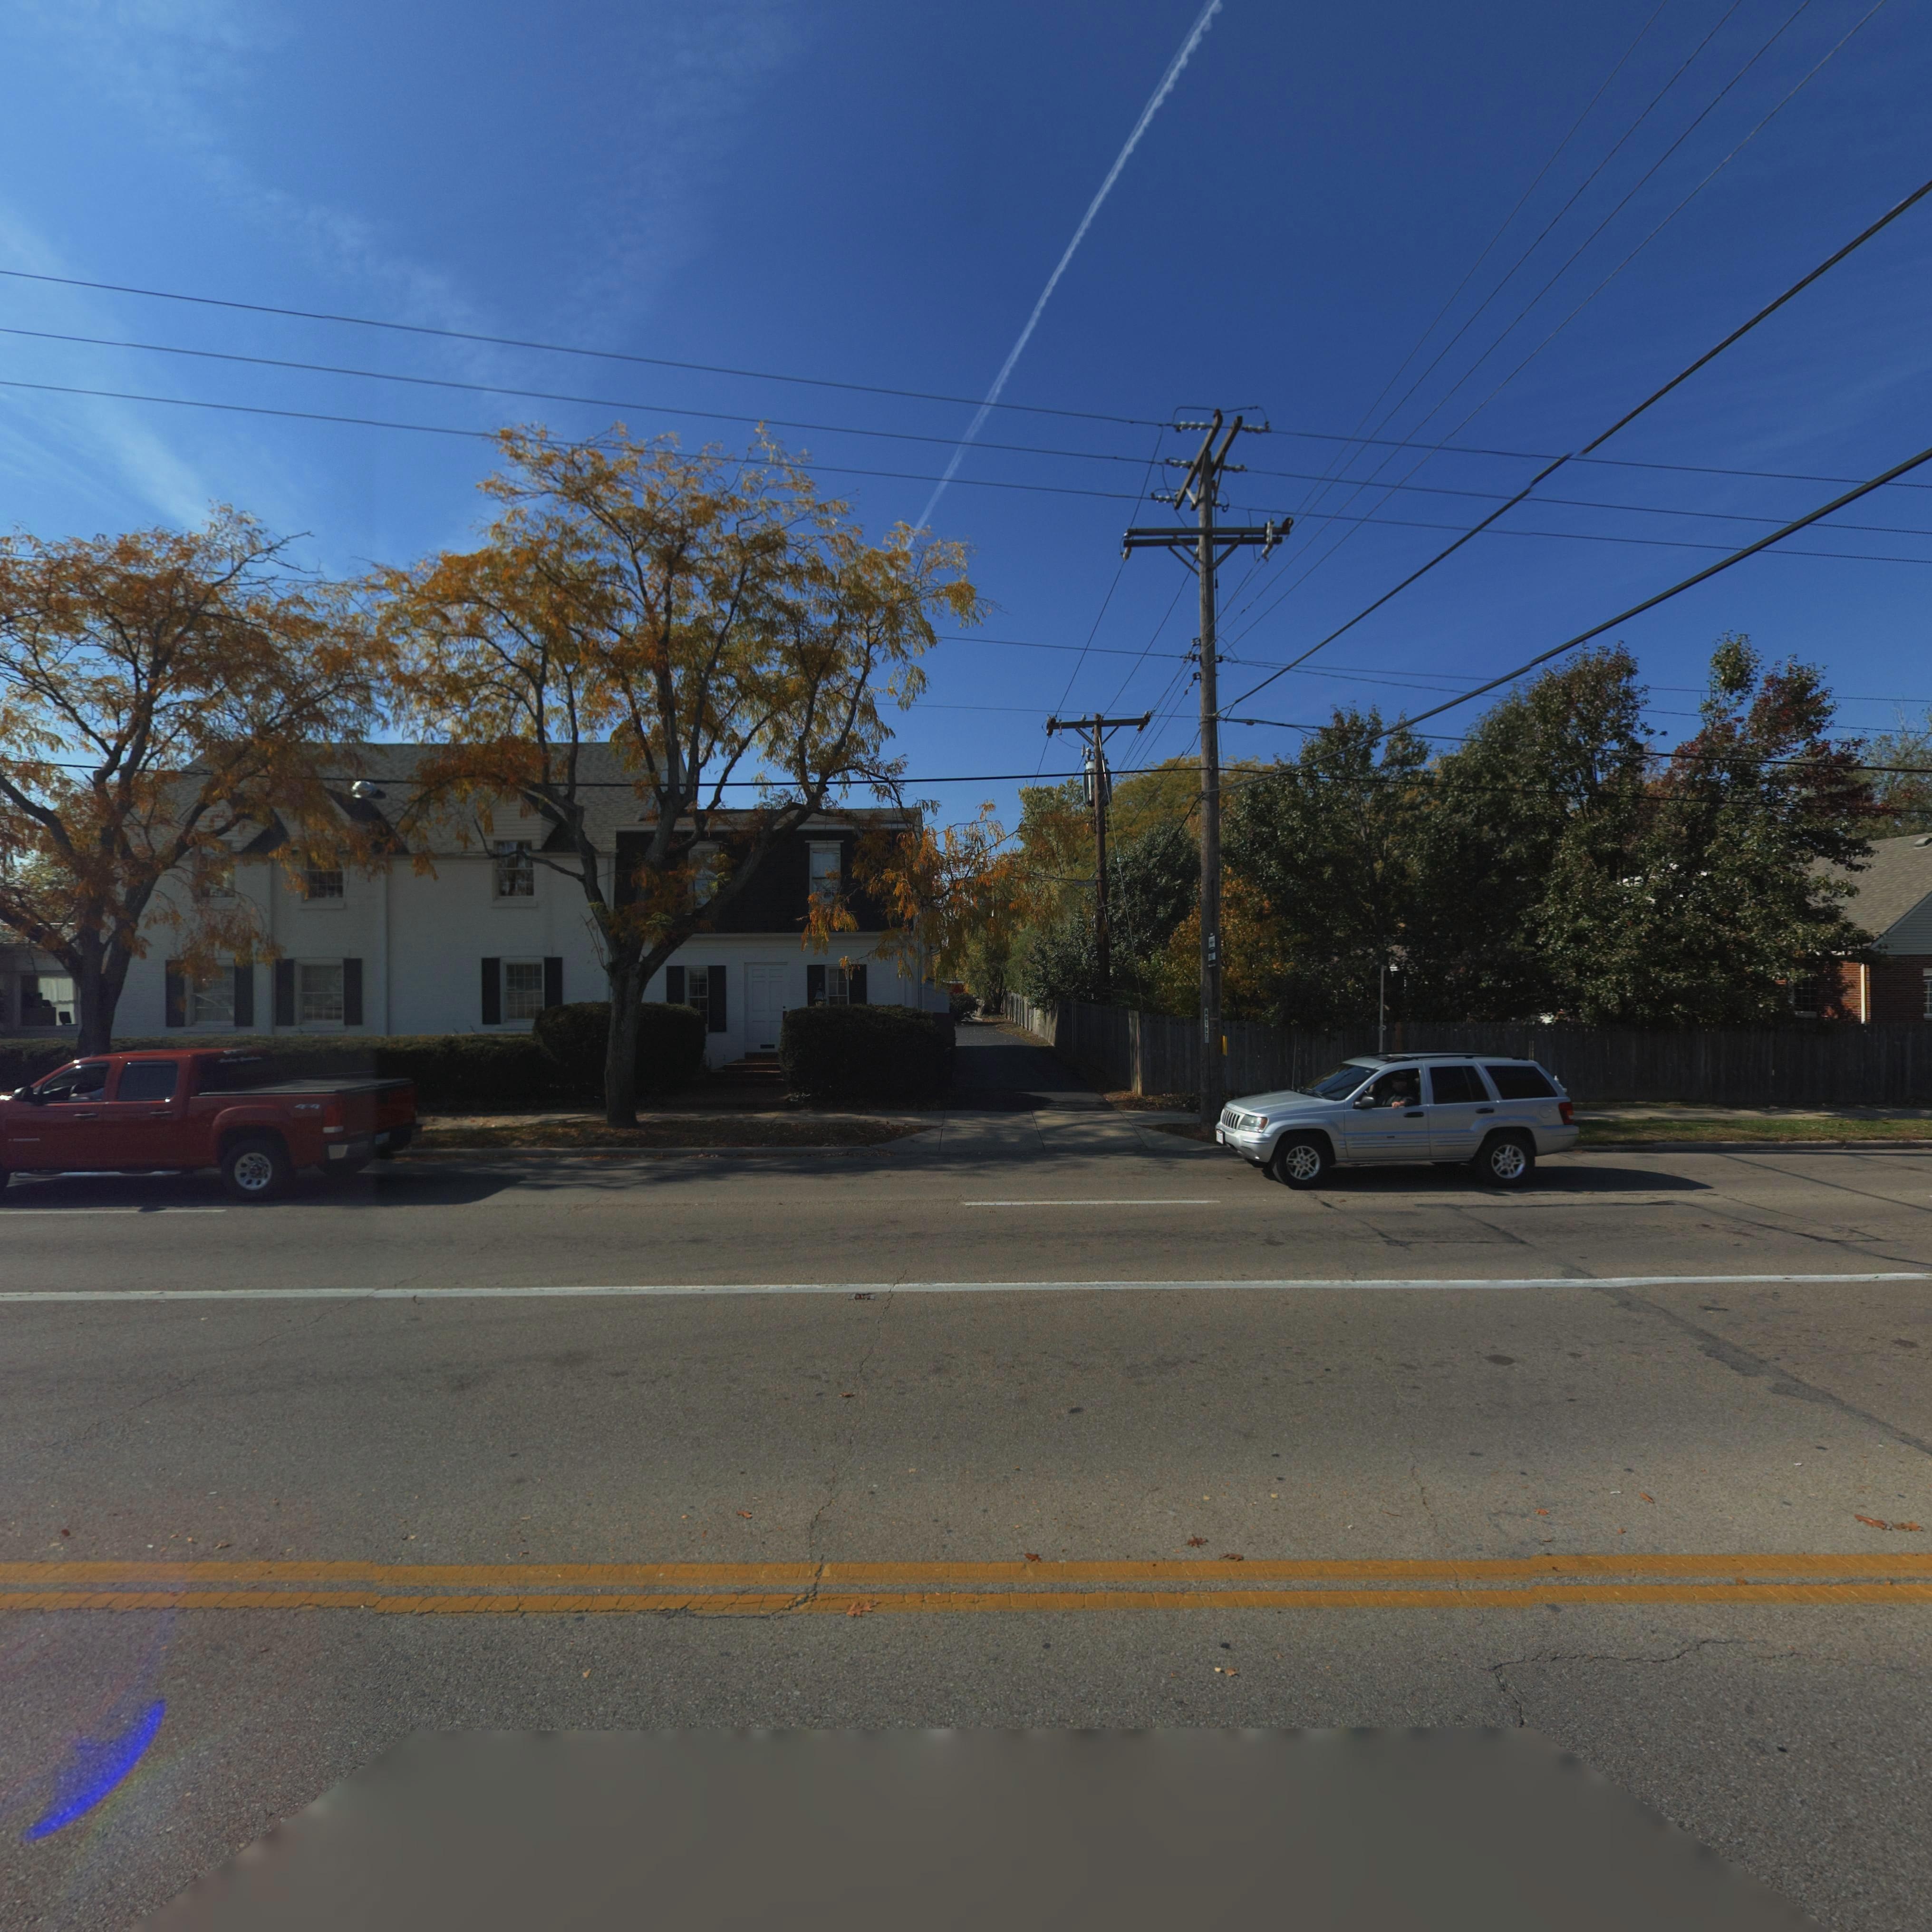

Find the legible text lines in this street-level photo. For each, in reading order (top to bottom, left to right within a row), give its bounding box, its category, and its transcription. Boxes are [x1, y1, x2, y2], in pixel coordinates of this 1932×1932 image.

[1205, 1010, 1208, 1037] None: A6197
[294, 1103, 320, 1110] None: 4*4